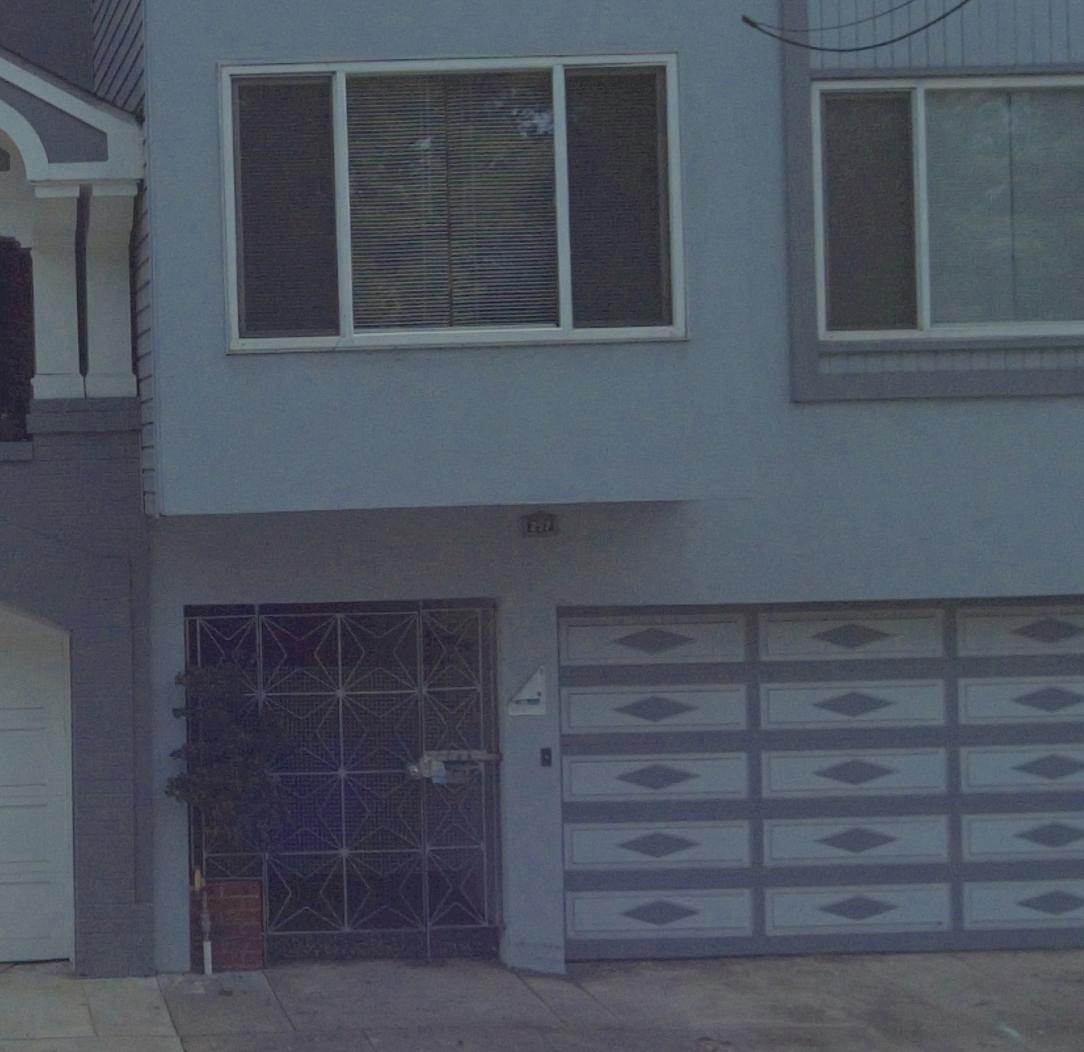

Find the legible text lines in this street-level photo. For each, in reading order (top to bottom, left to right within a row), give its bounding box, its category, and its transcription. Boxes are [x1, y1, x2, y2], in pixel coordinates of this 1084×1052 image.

[529, 520, 552, 533] StreetNumber: 2*7